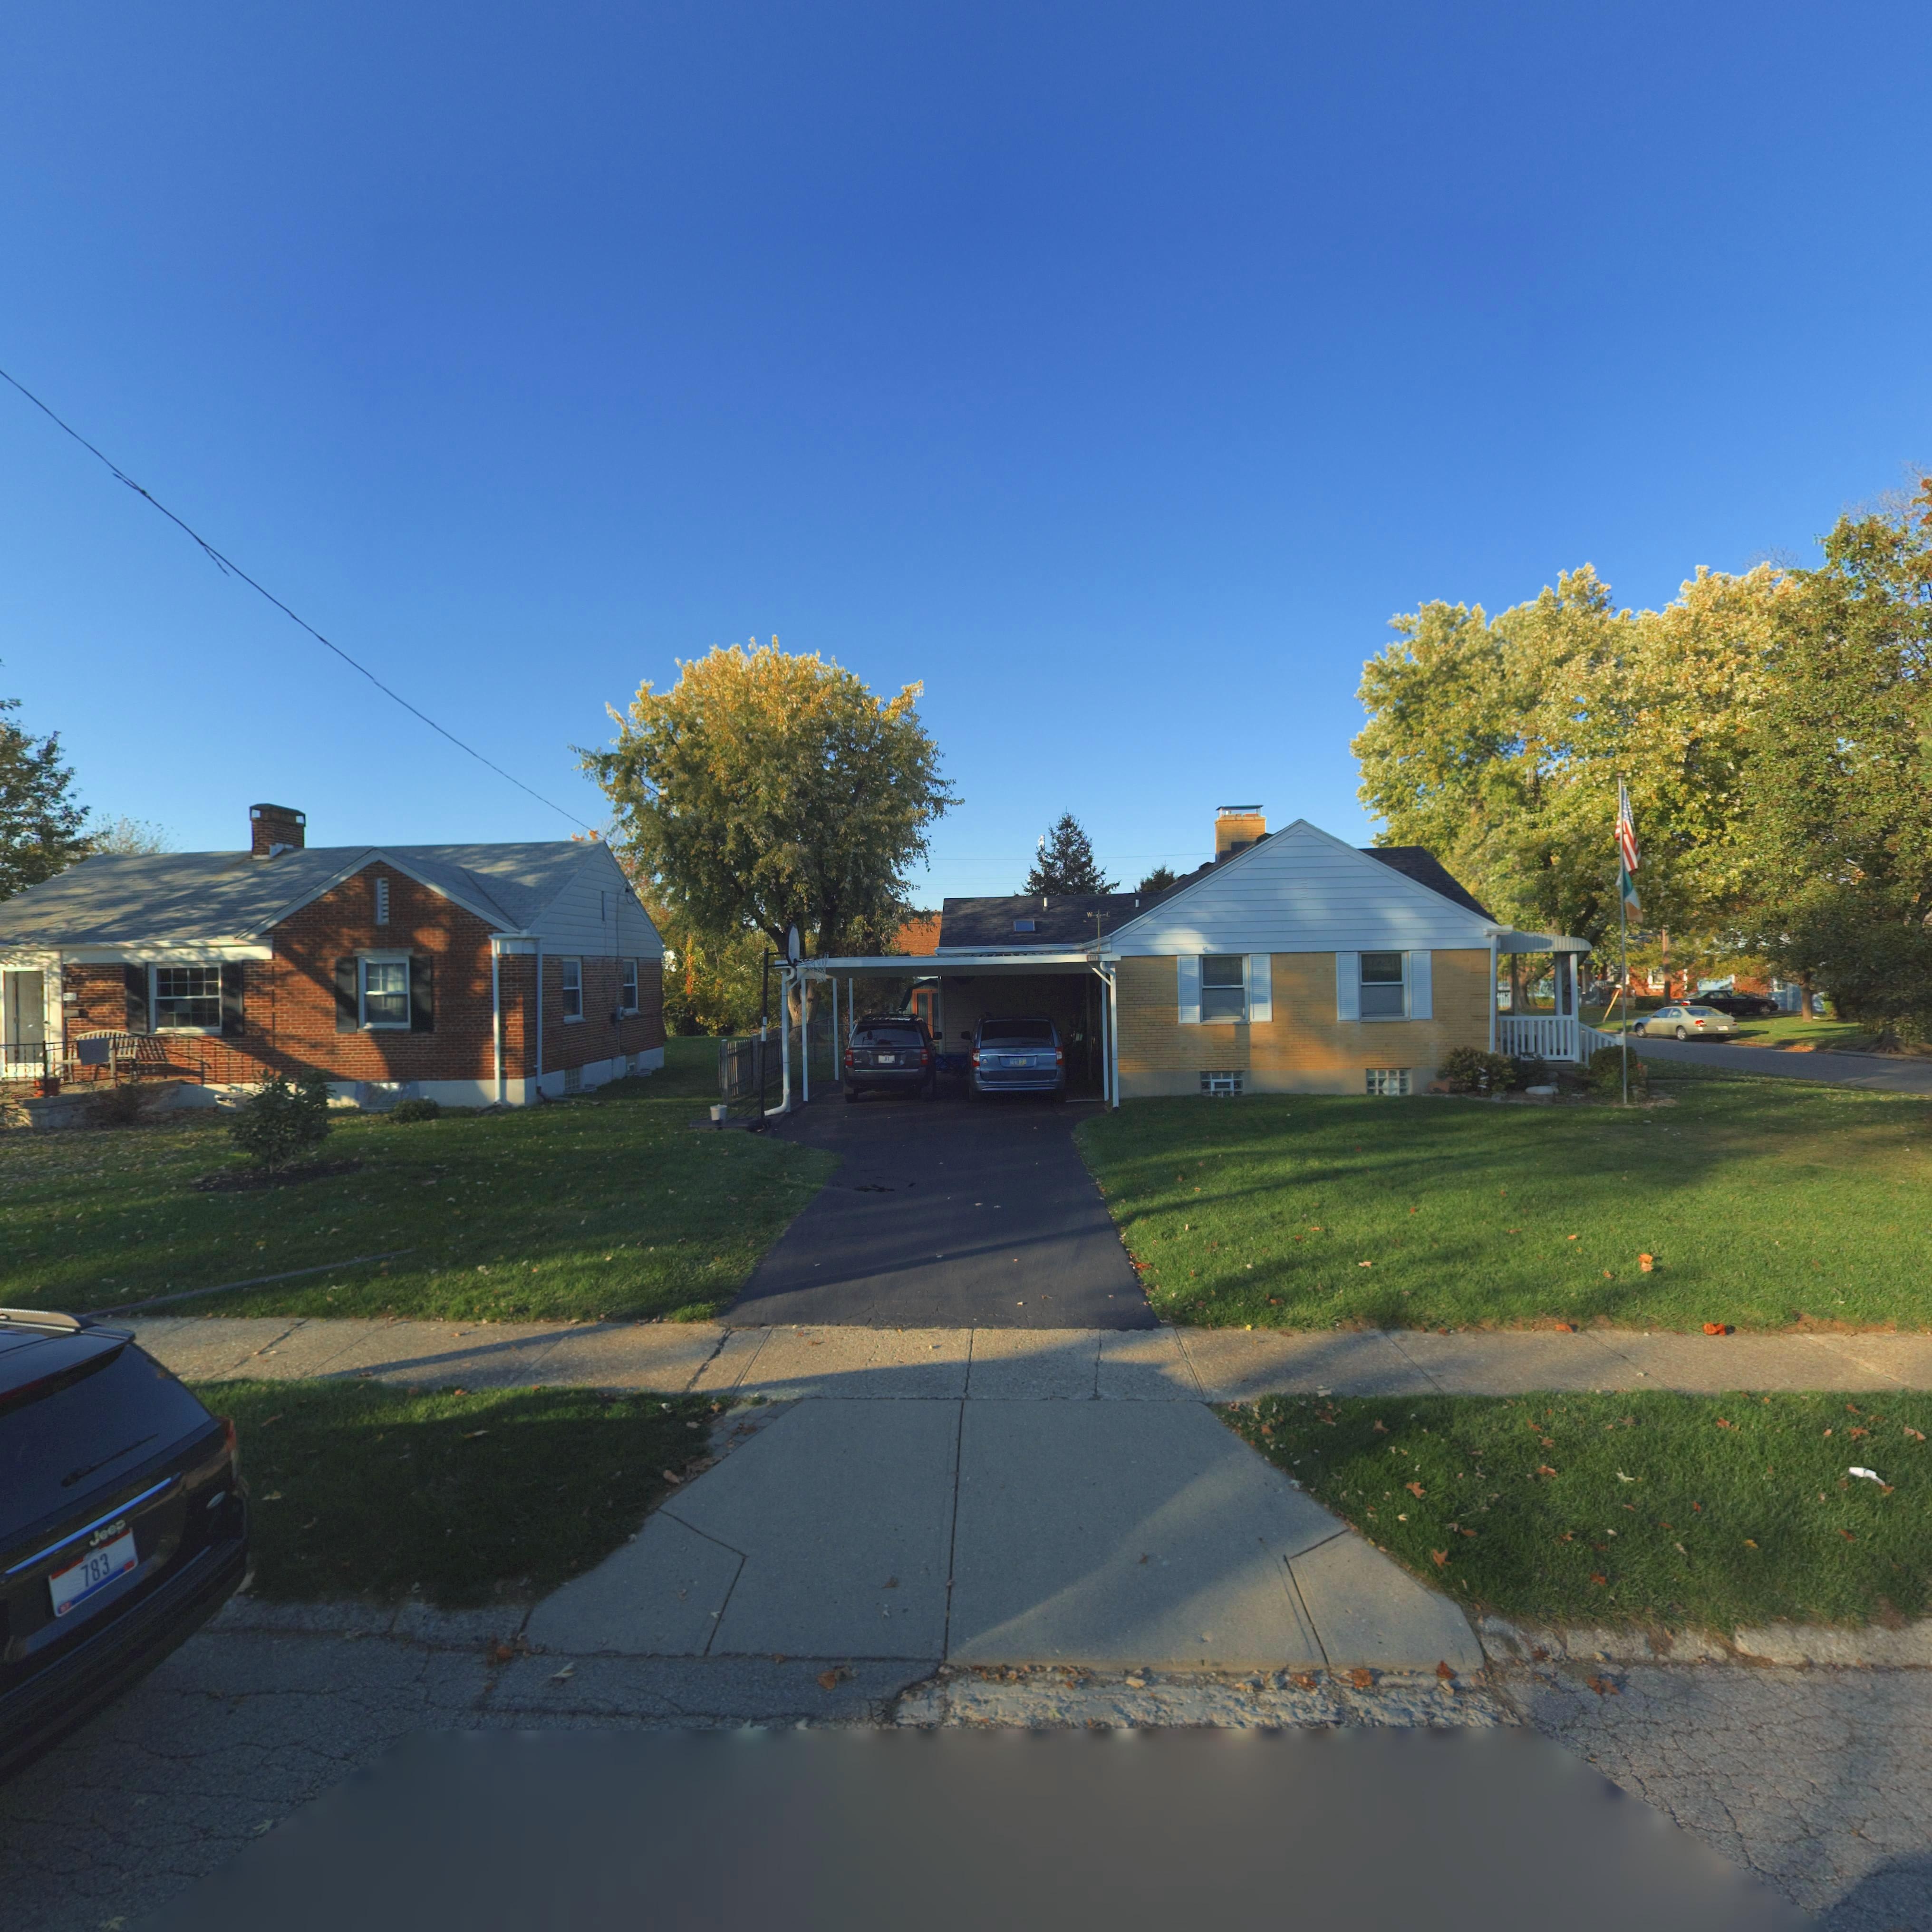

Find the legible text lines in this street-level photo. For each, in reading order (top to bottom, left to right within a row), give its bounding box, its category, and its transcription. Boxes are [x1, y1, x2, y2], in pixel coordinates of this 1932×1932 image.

[1088, 956, 1097, 960] StreetNumber: 213
[63, 993, 76, 999] StreetNumber: 20*